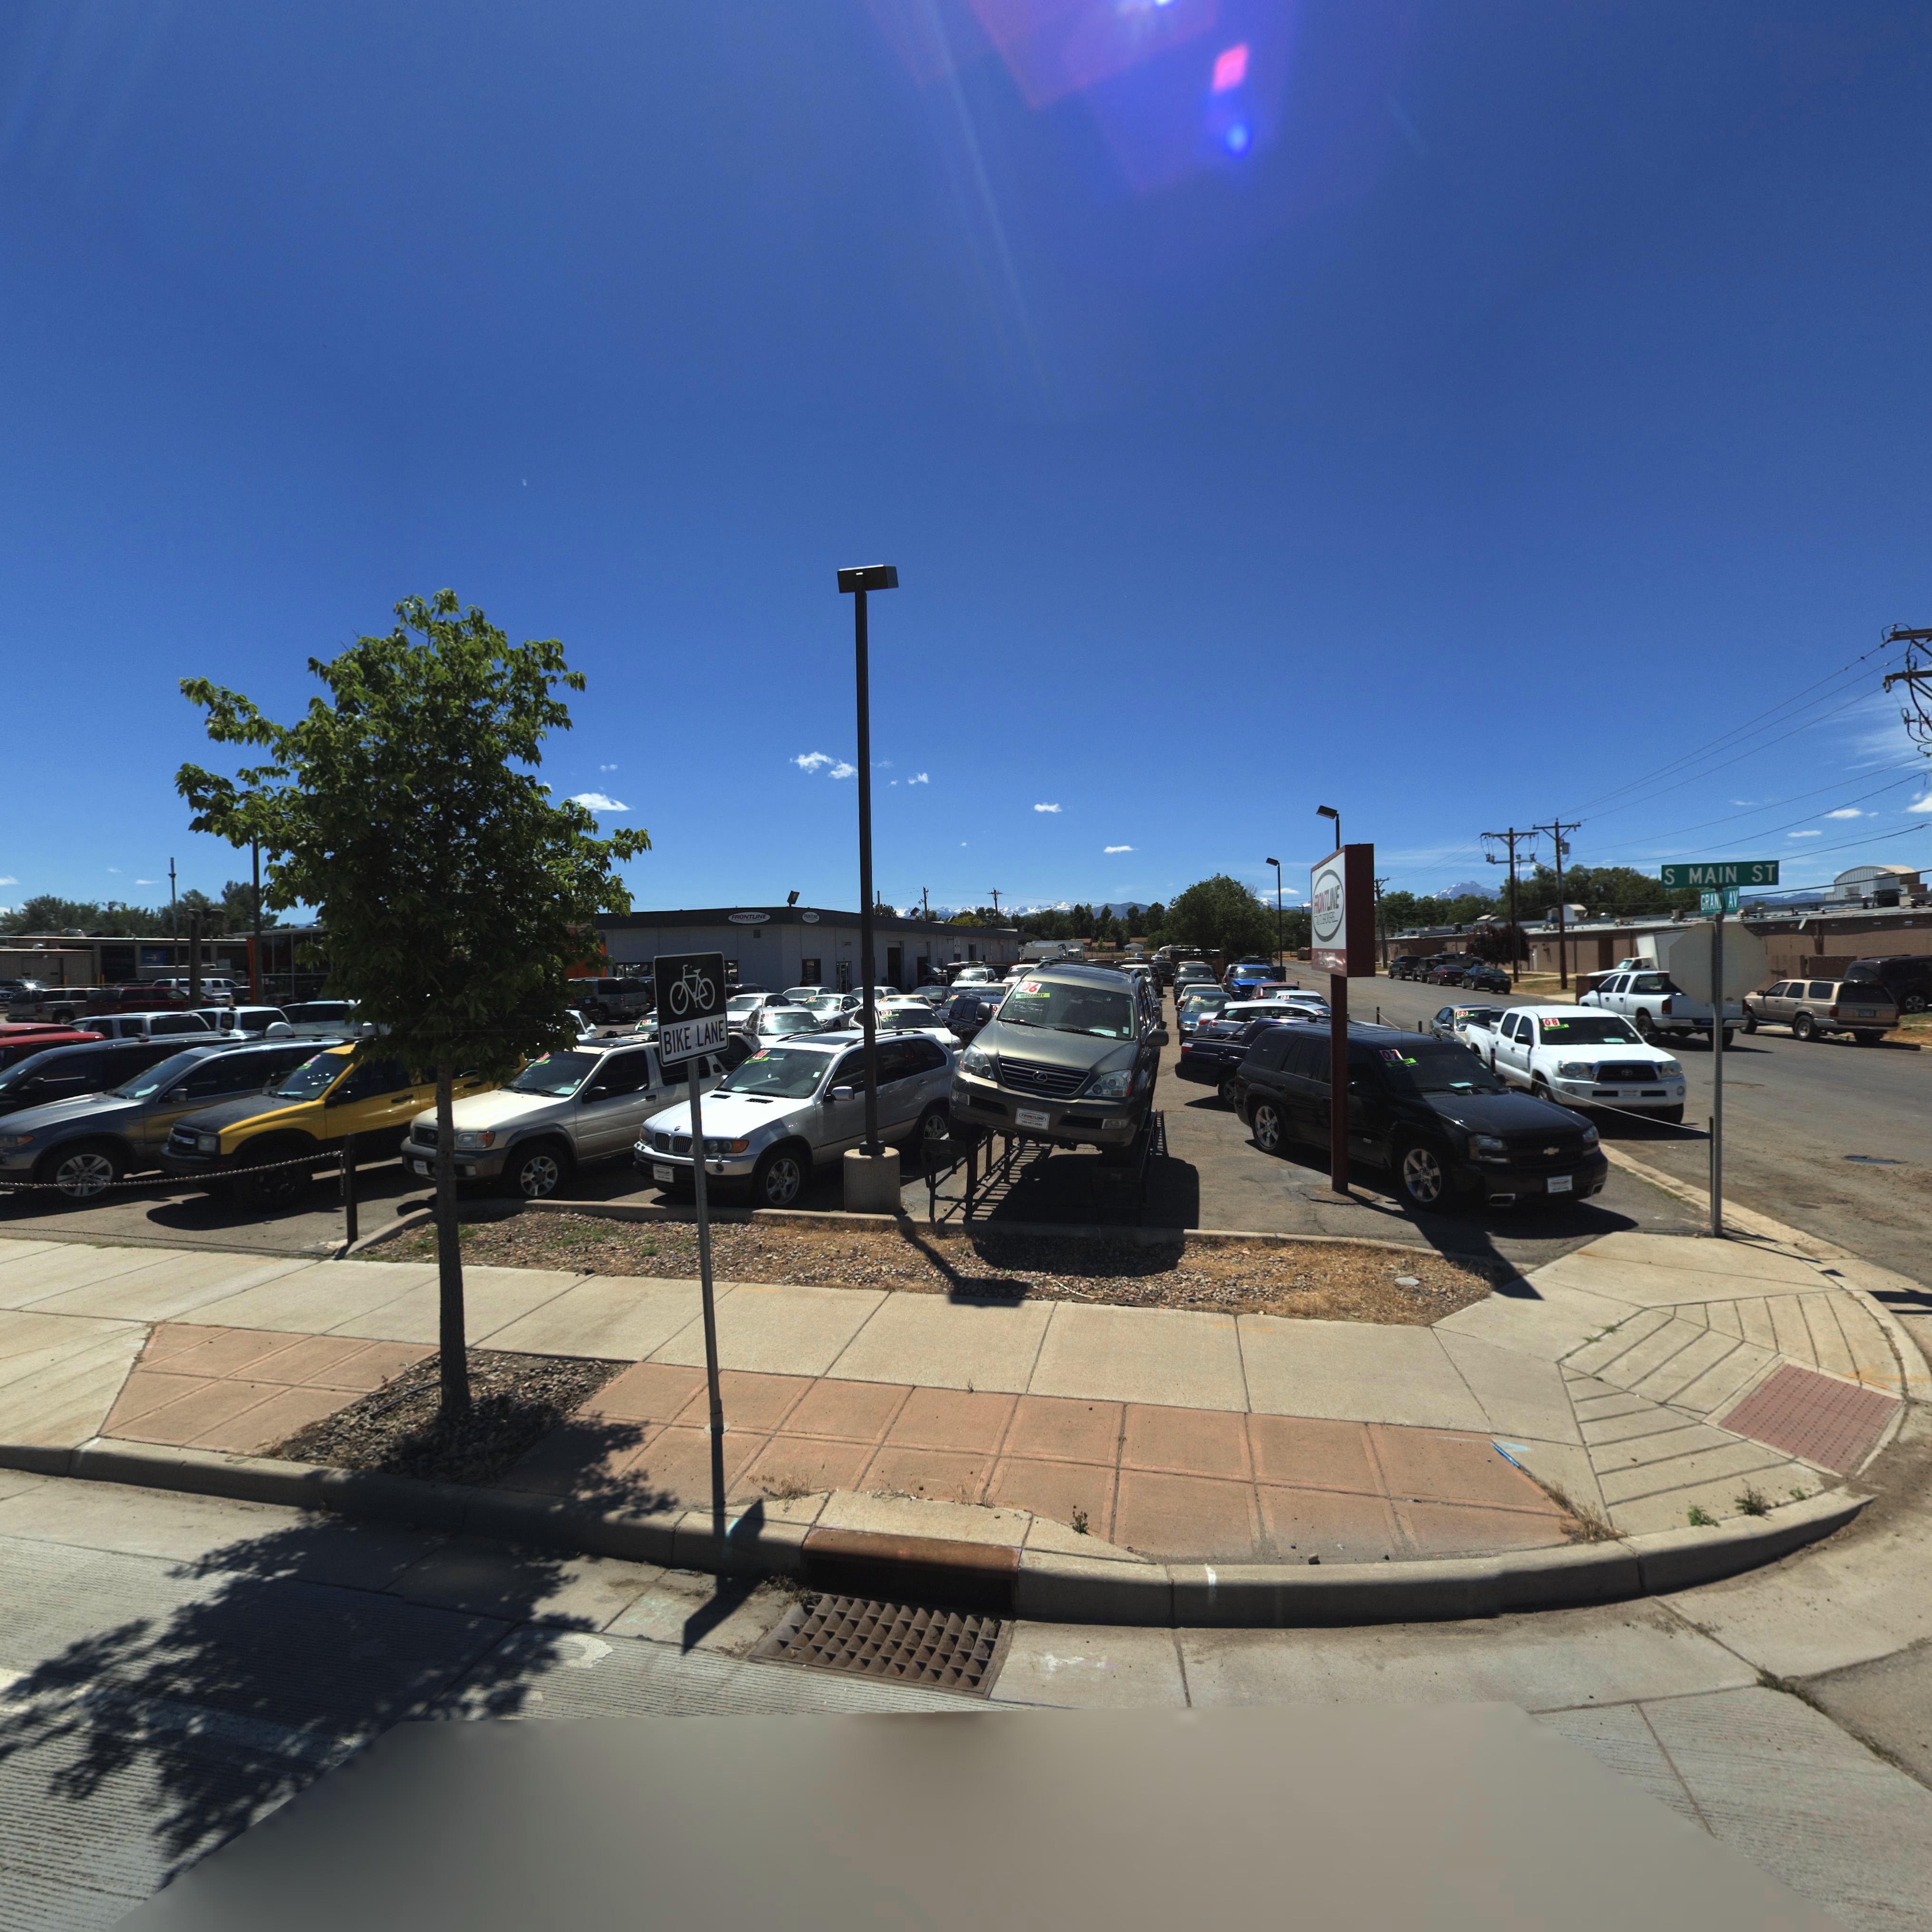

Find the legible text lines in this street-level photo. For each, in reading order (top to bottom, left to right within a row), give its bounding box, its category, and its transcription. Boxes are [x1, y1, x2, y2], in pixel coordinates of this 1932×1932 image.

[1663, 863, 1776, 885] StreetName: S MAIN ST
[1313, 882, 1340, 915] BusinessName: FONTLINE
[1700, 889, 1739, 911] StreetName: GRAND AV
[731, 913, 768, 919] BusinessName: FRONTLINE
[803, 913, 818, 919] BusinessName: F***********
[1312, 911, 1340, 926] BusinessName: AUTO******